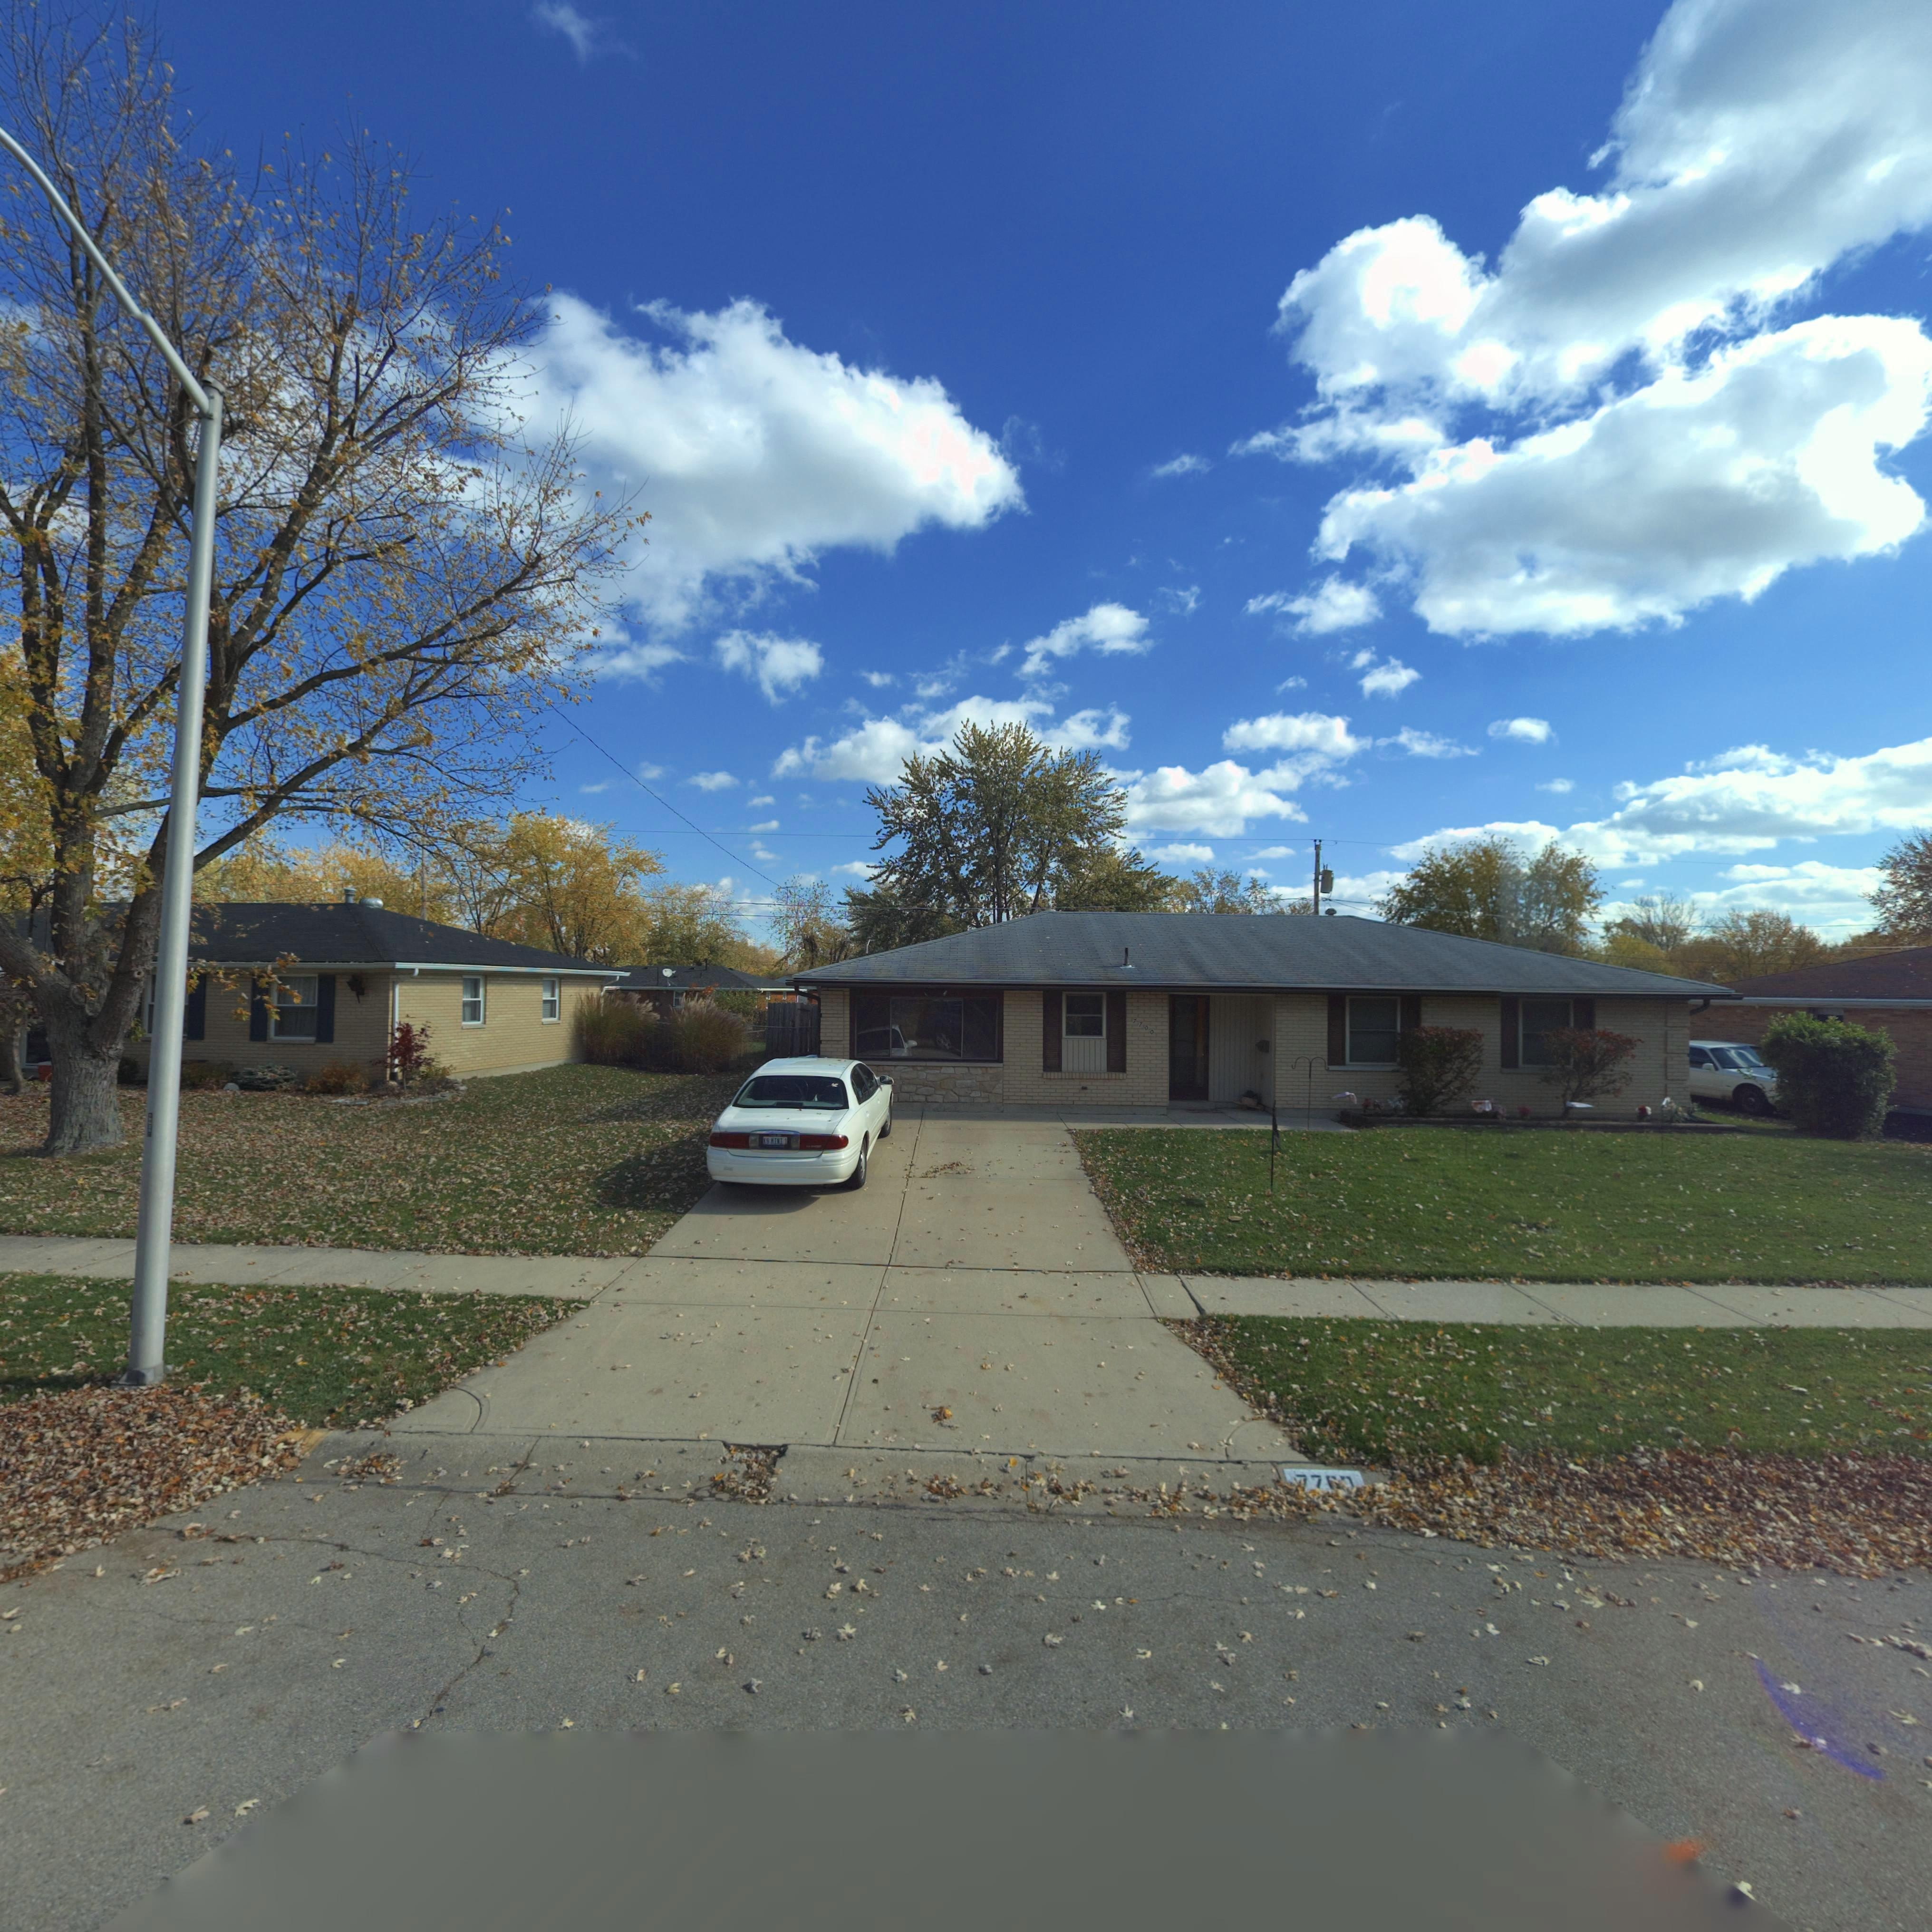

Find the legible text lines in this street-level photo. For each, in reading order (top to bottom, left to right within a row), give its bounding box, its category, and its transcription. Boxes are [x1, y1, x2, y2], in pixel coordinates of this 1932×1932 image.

[1132, 1018, 1154, 1035] StreetNumber: 7700
[1295, 1474, 1357, 1491] StreetNumber: 7767